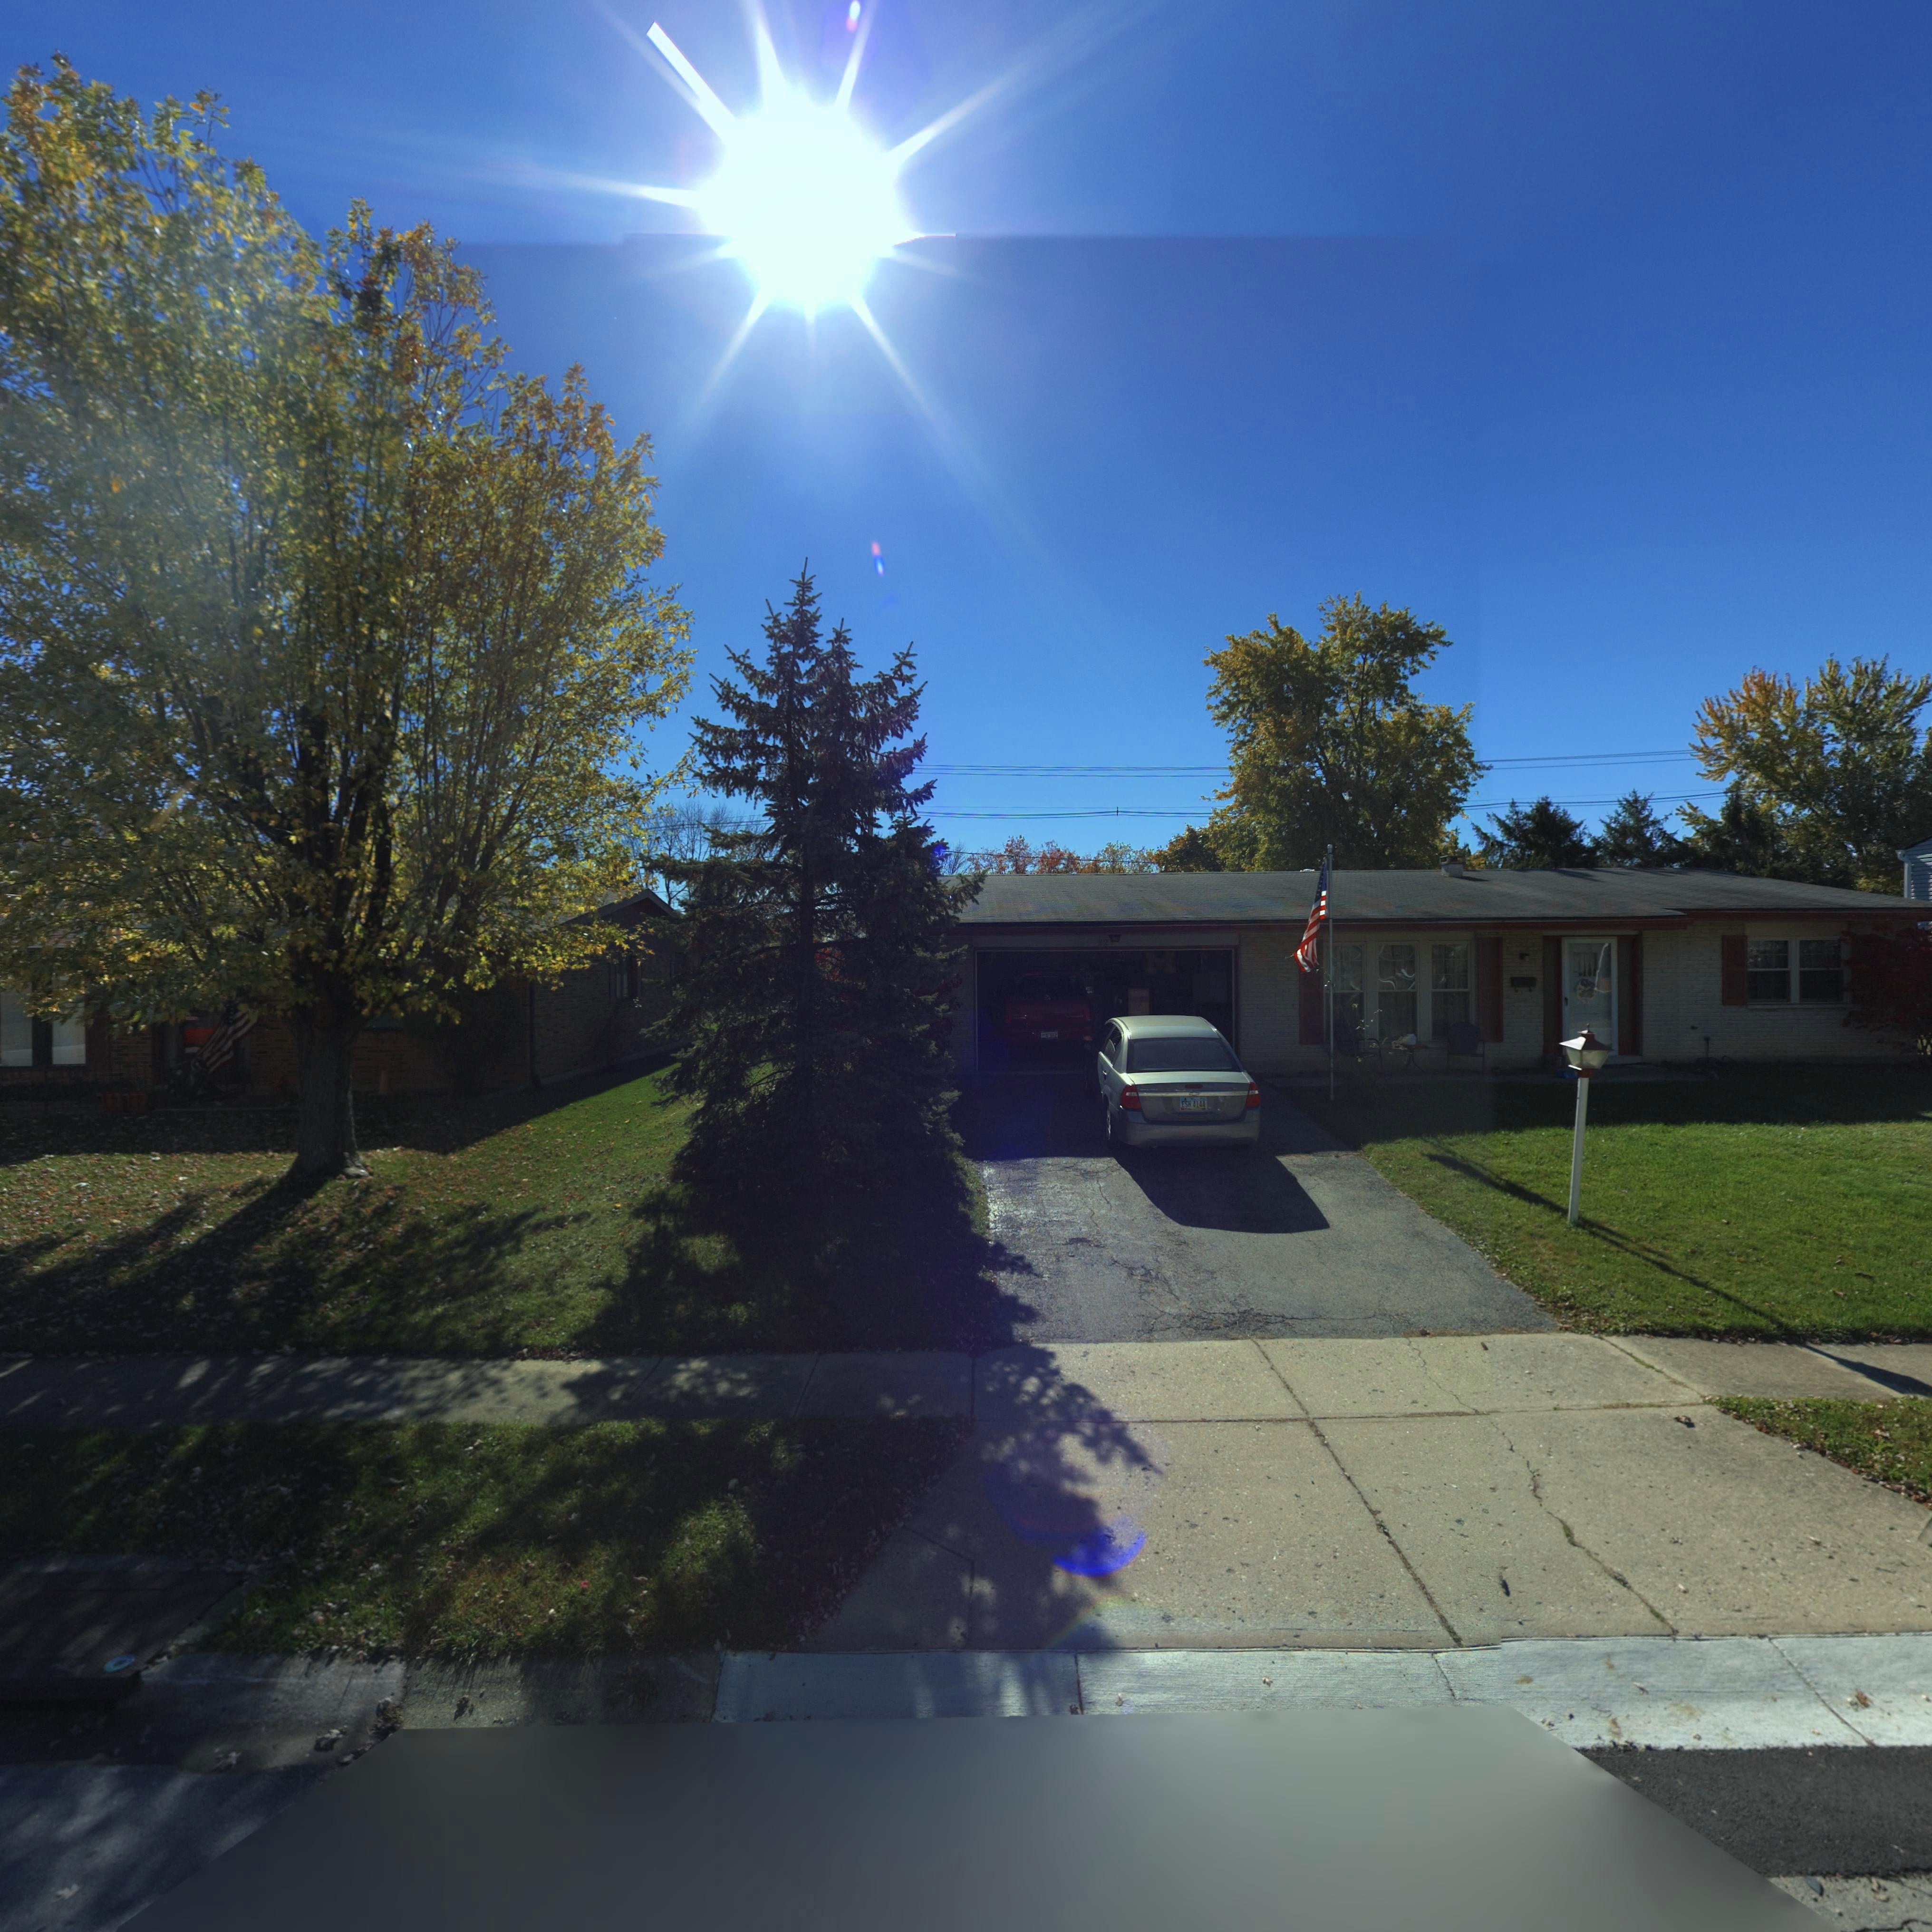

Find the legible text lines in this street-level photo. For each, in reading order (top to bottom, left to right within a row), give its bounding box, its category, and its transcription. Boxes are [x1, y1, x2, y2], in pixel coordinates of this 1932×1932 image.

[1097, 938, 1115, 946] StreetNumber: 22*